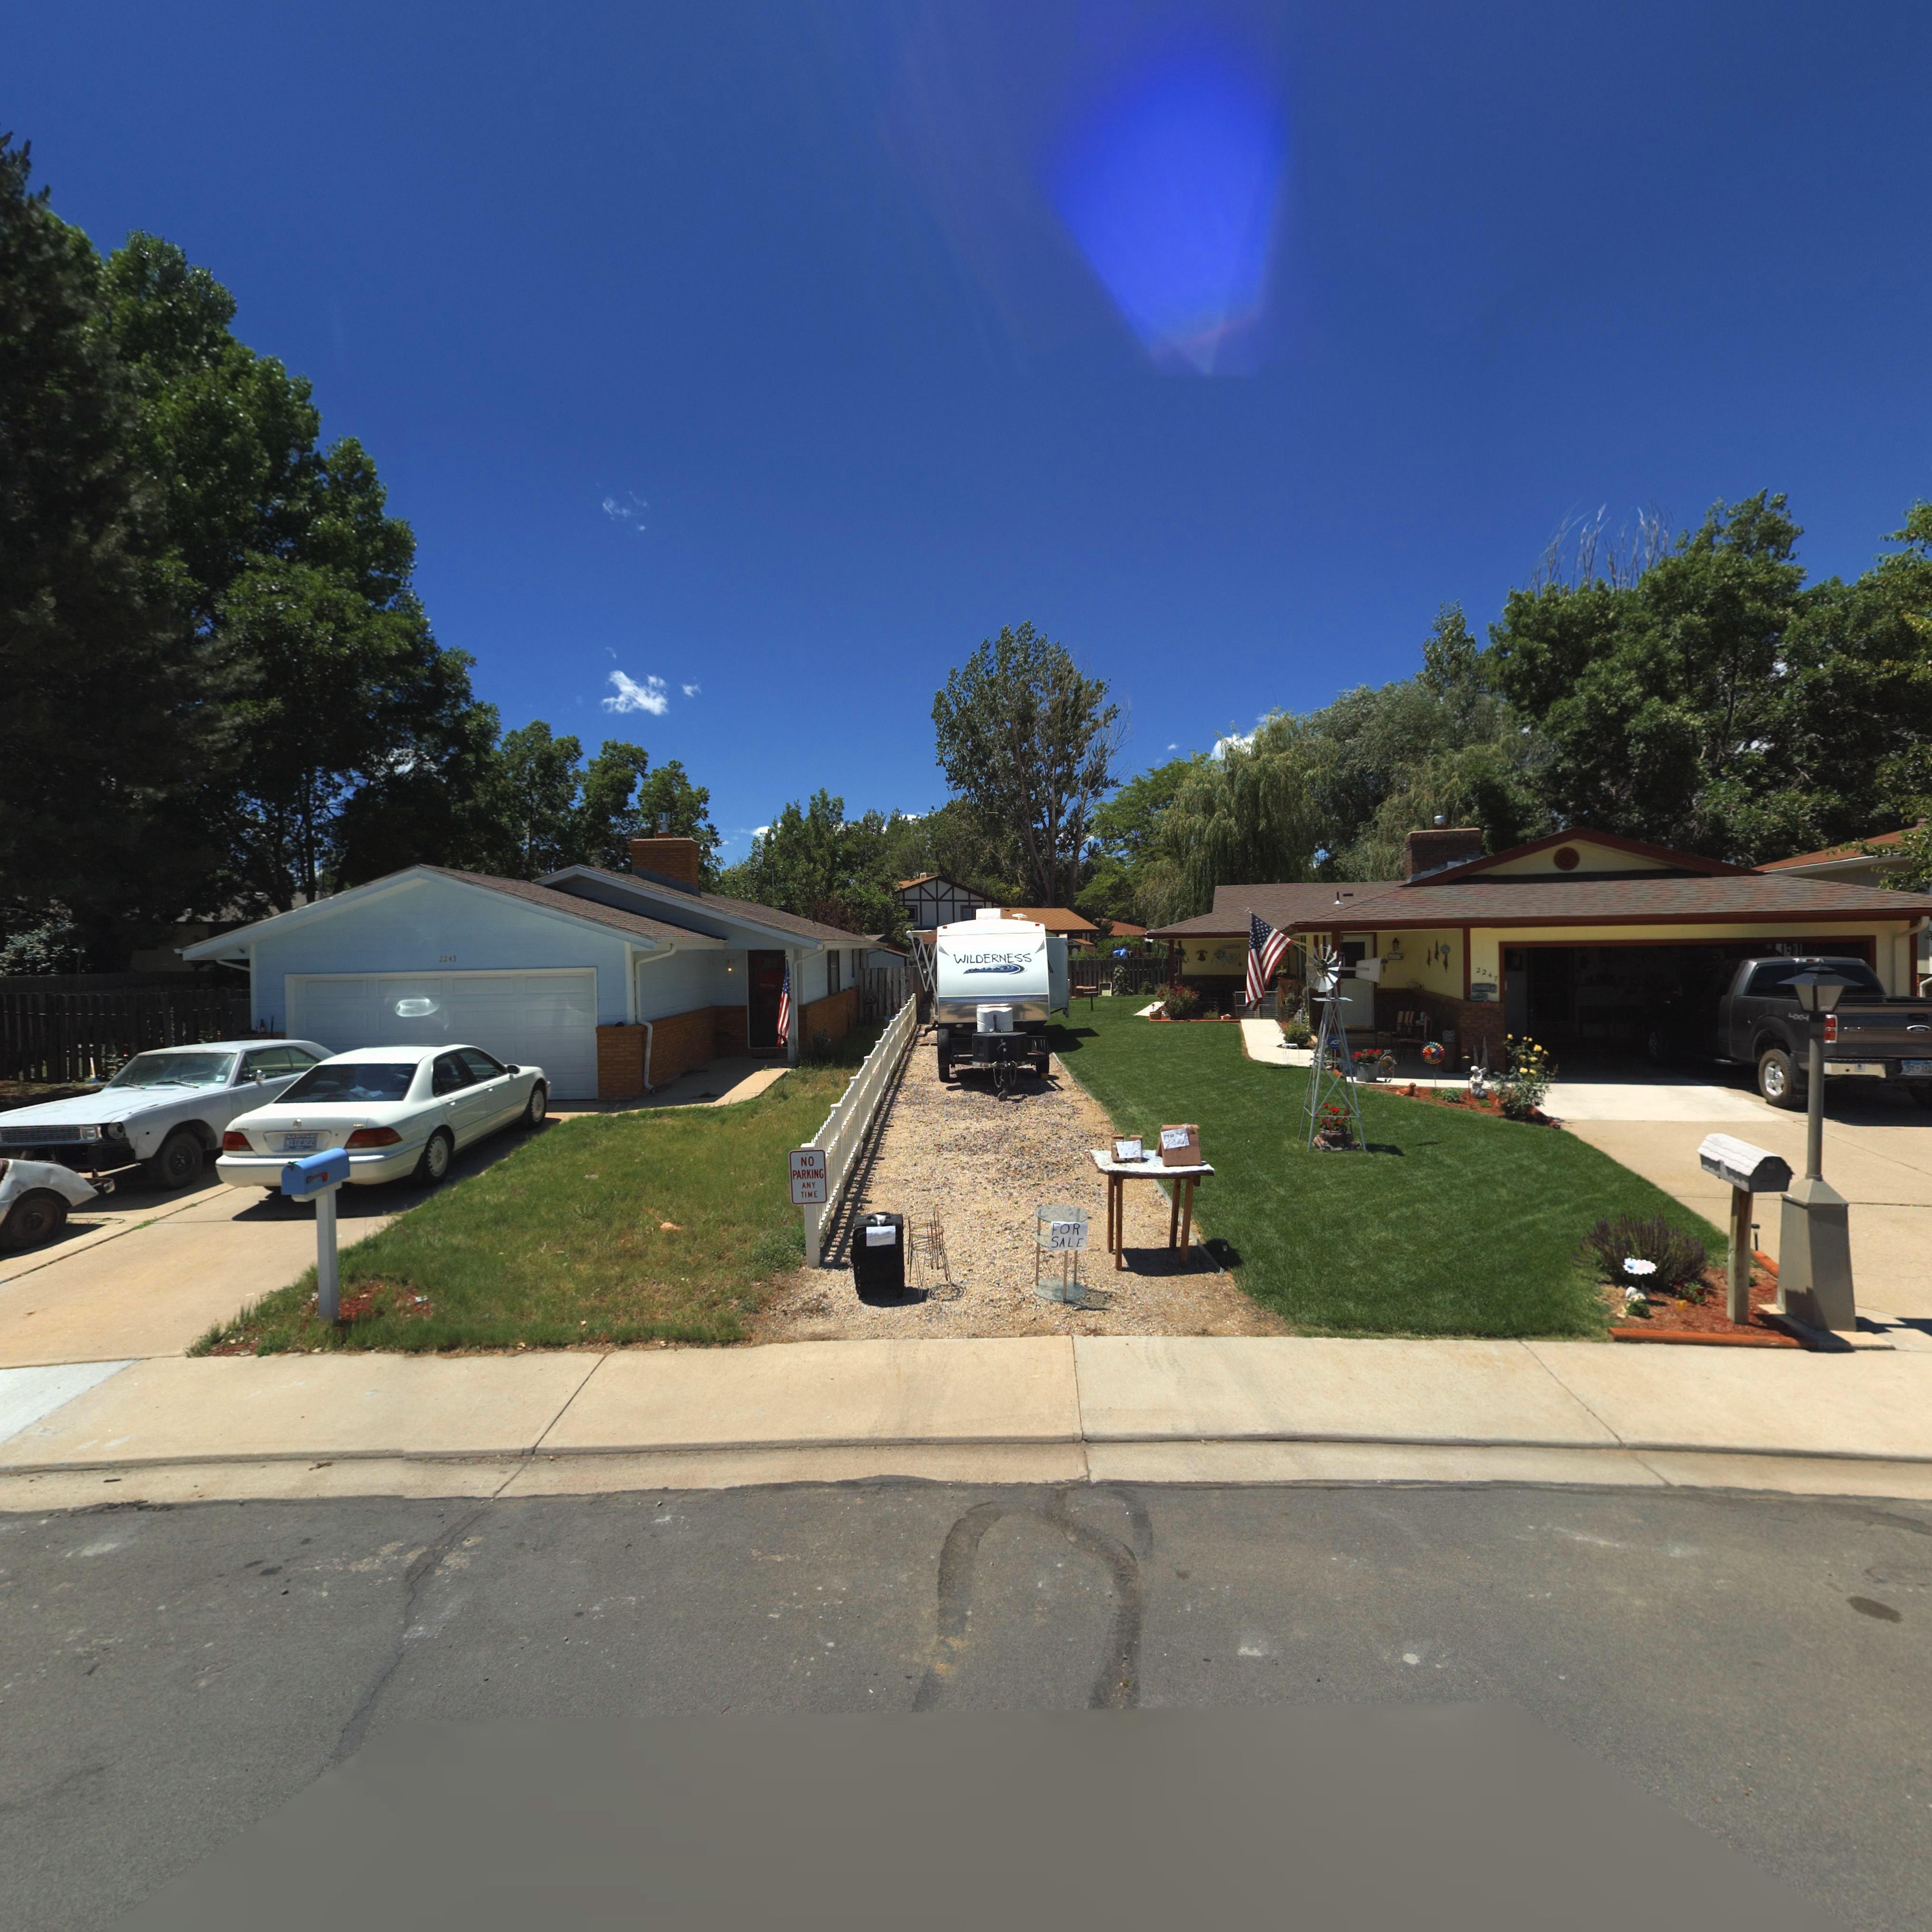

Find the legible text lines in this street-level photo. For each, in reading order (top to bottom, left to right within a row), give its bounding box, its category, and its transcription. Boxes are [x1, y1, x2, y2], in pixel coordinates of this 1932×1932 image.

[438, 954, 457, 963] StreetNumber: 2243
[1475, 966, 1498, 982] StreetNumber: 2247